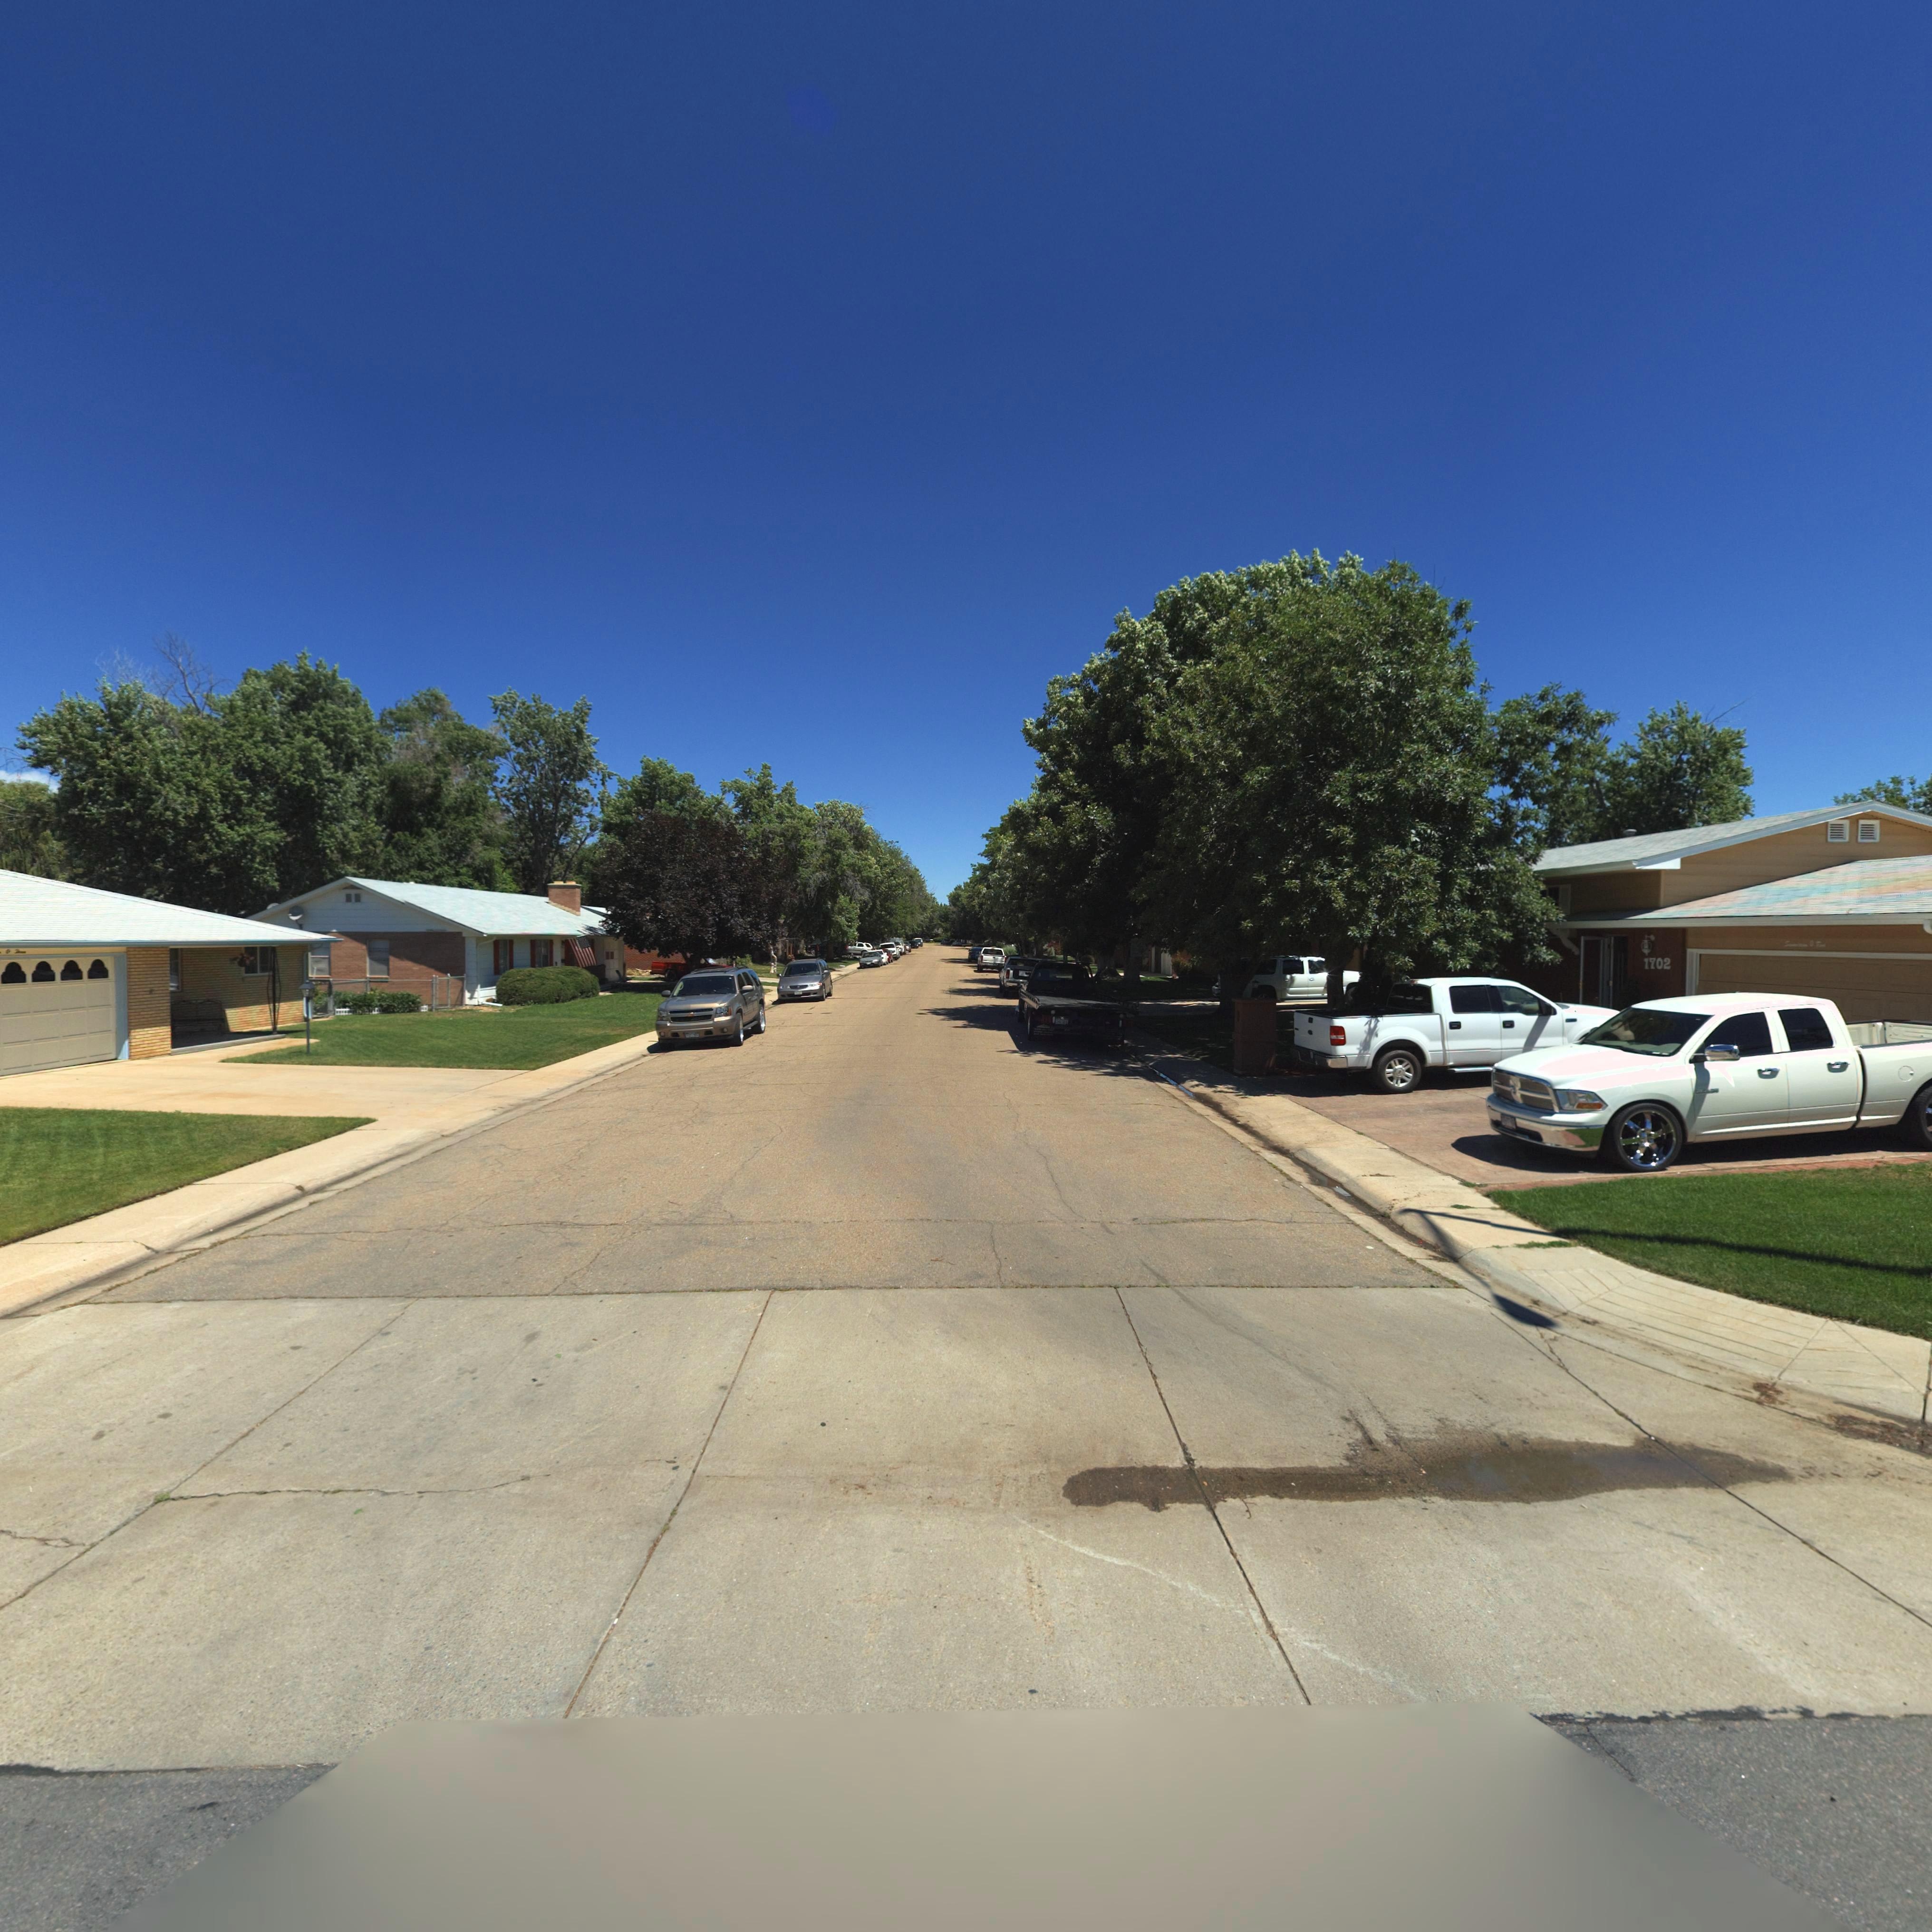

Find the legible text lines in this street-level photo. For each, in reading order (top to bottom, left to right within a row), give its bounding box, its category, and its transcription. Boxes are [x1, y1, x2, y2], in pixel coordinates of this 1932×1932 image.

[1643, 957, 1671, 970] StreetNumber: 1702